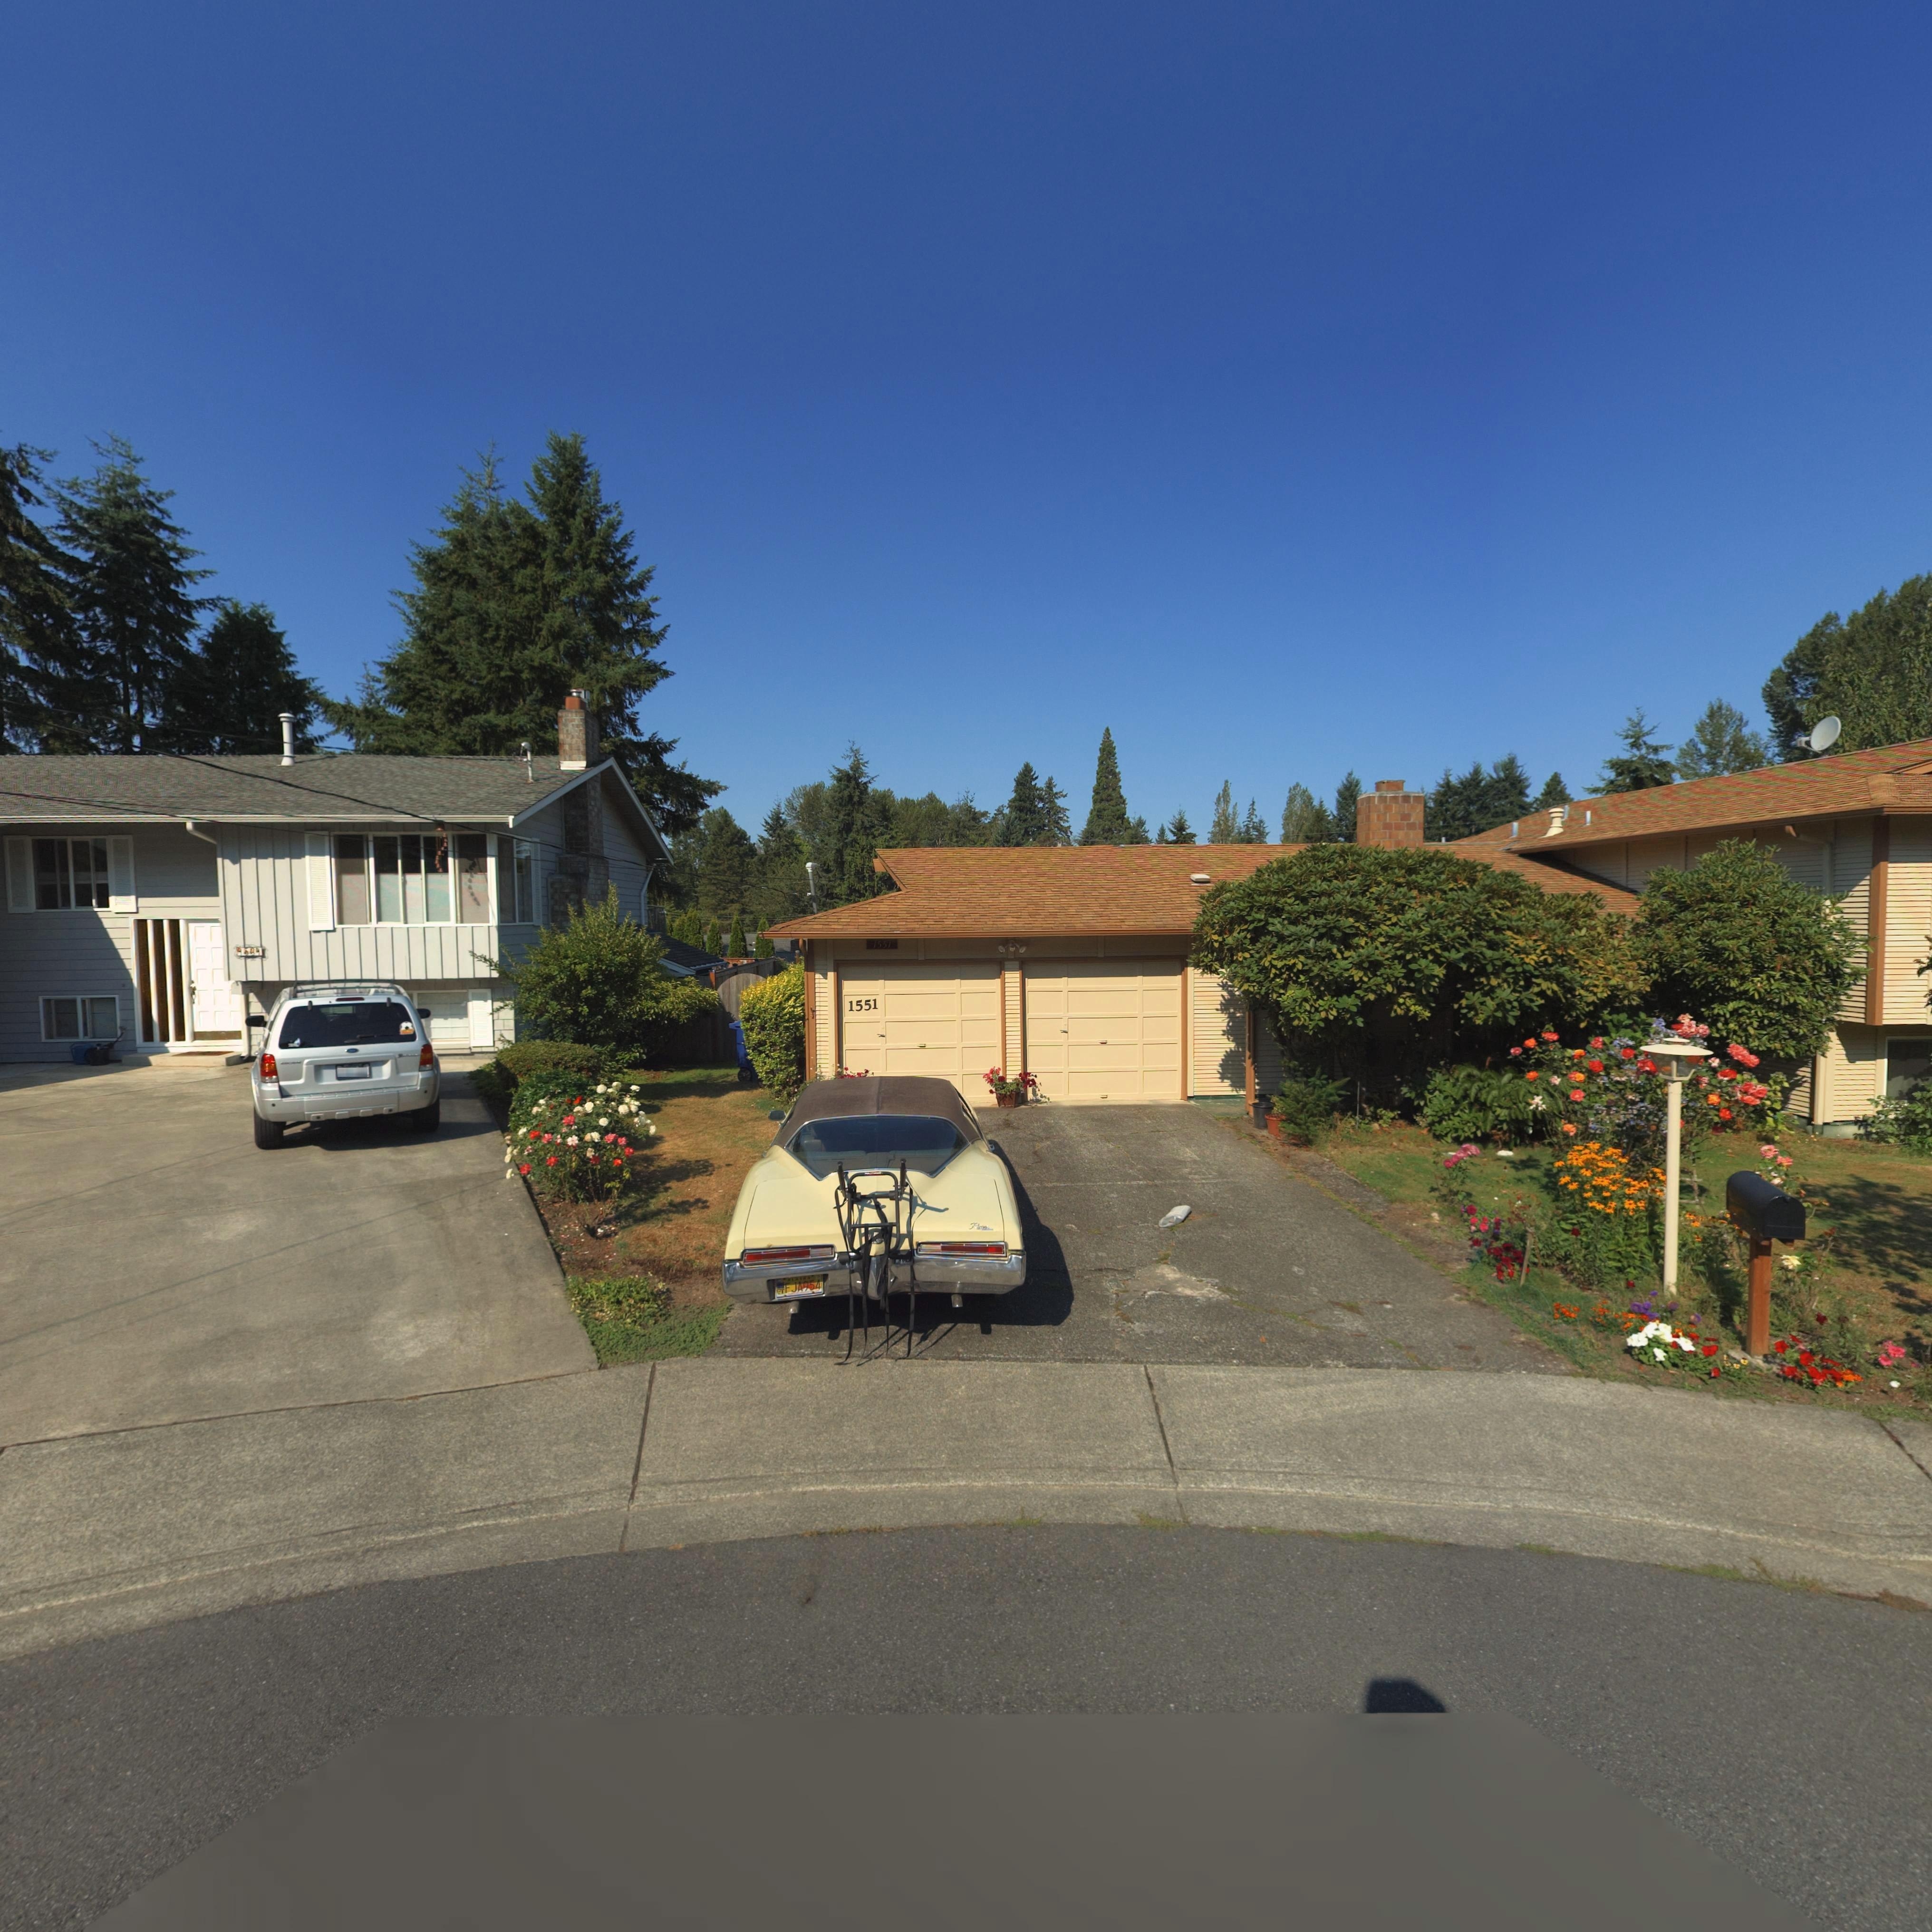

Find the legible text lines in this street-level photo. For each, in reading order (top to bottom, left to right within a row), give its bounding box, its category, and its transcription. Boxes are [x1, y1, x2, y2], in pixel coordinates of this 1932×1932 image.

[872, 940, 892, 949] StreetNumber: 1551
[847, 997, 879, 1013] StreetNumber: 1551